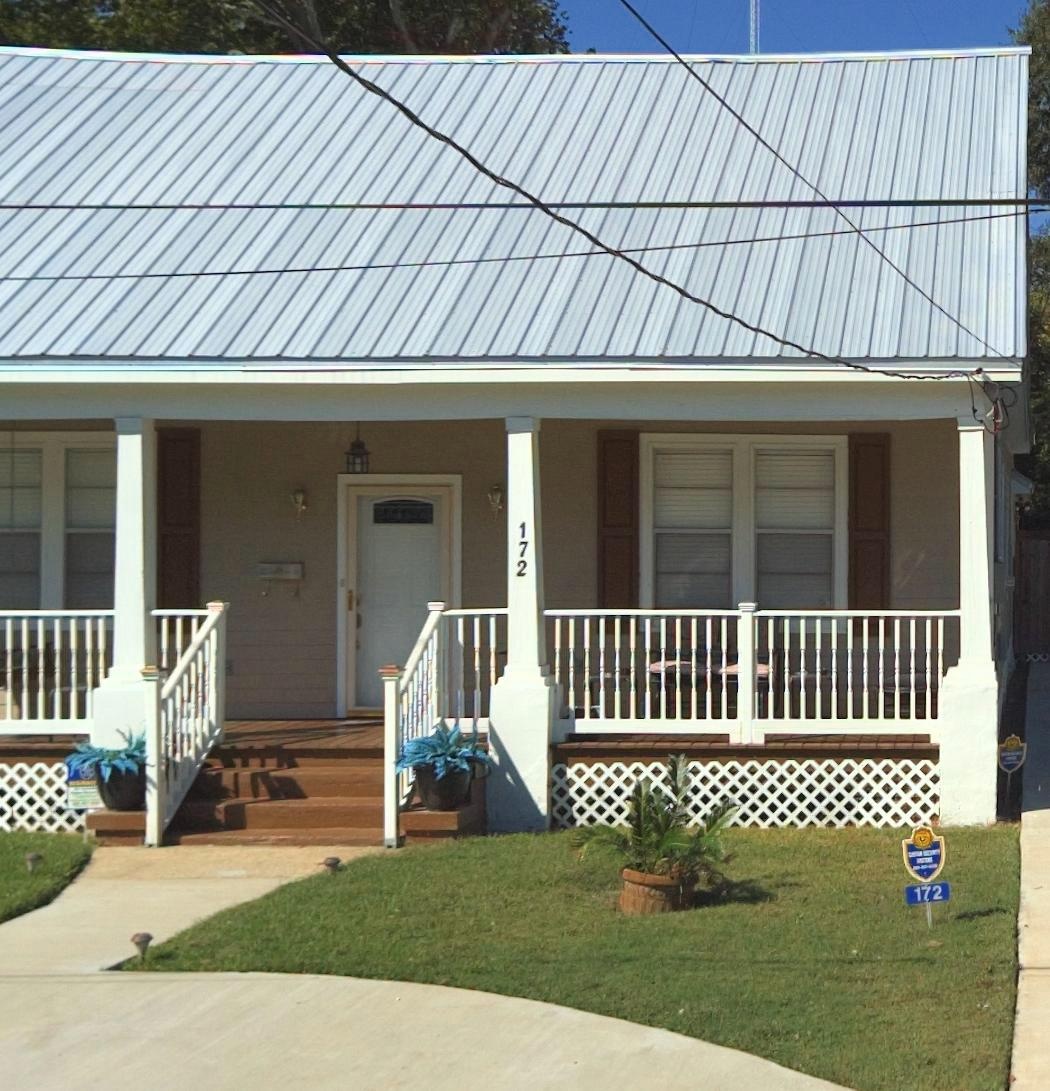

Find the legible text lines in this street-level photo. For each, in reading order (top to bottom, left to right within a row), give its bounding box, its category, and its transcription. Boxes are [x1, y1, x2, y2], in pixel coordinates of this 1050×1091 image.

[514, 519, 530, 579] StreetNumber: 172
[912, 883, 946, 904] StreetNumber: 172